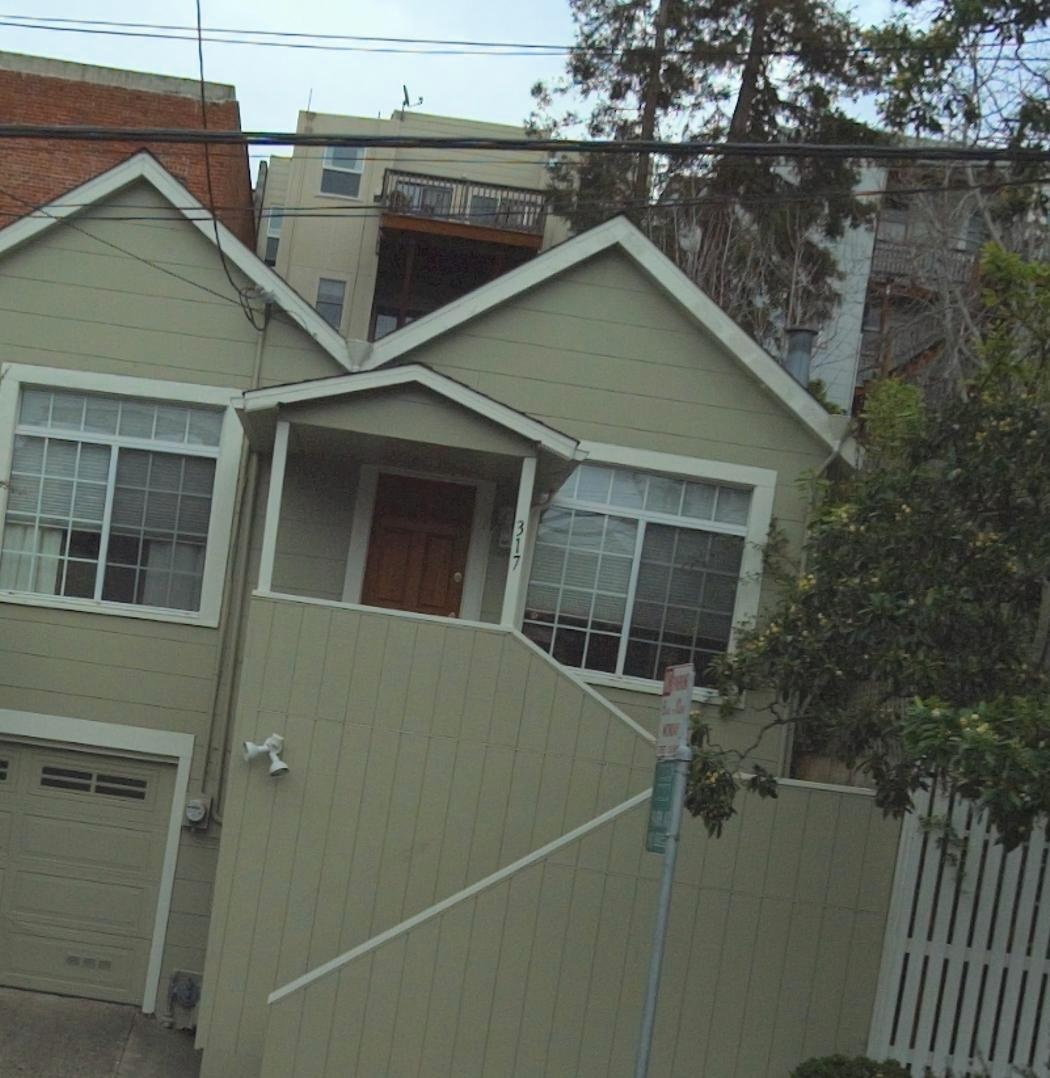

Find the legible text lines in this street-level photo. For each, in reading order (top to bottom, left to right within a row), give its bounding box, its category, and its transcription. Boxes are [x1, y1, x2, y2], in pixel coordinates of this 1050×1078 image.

[511, 519, 525, 571] StreetNumber: 317